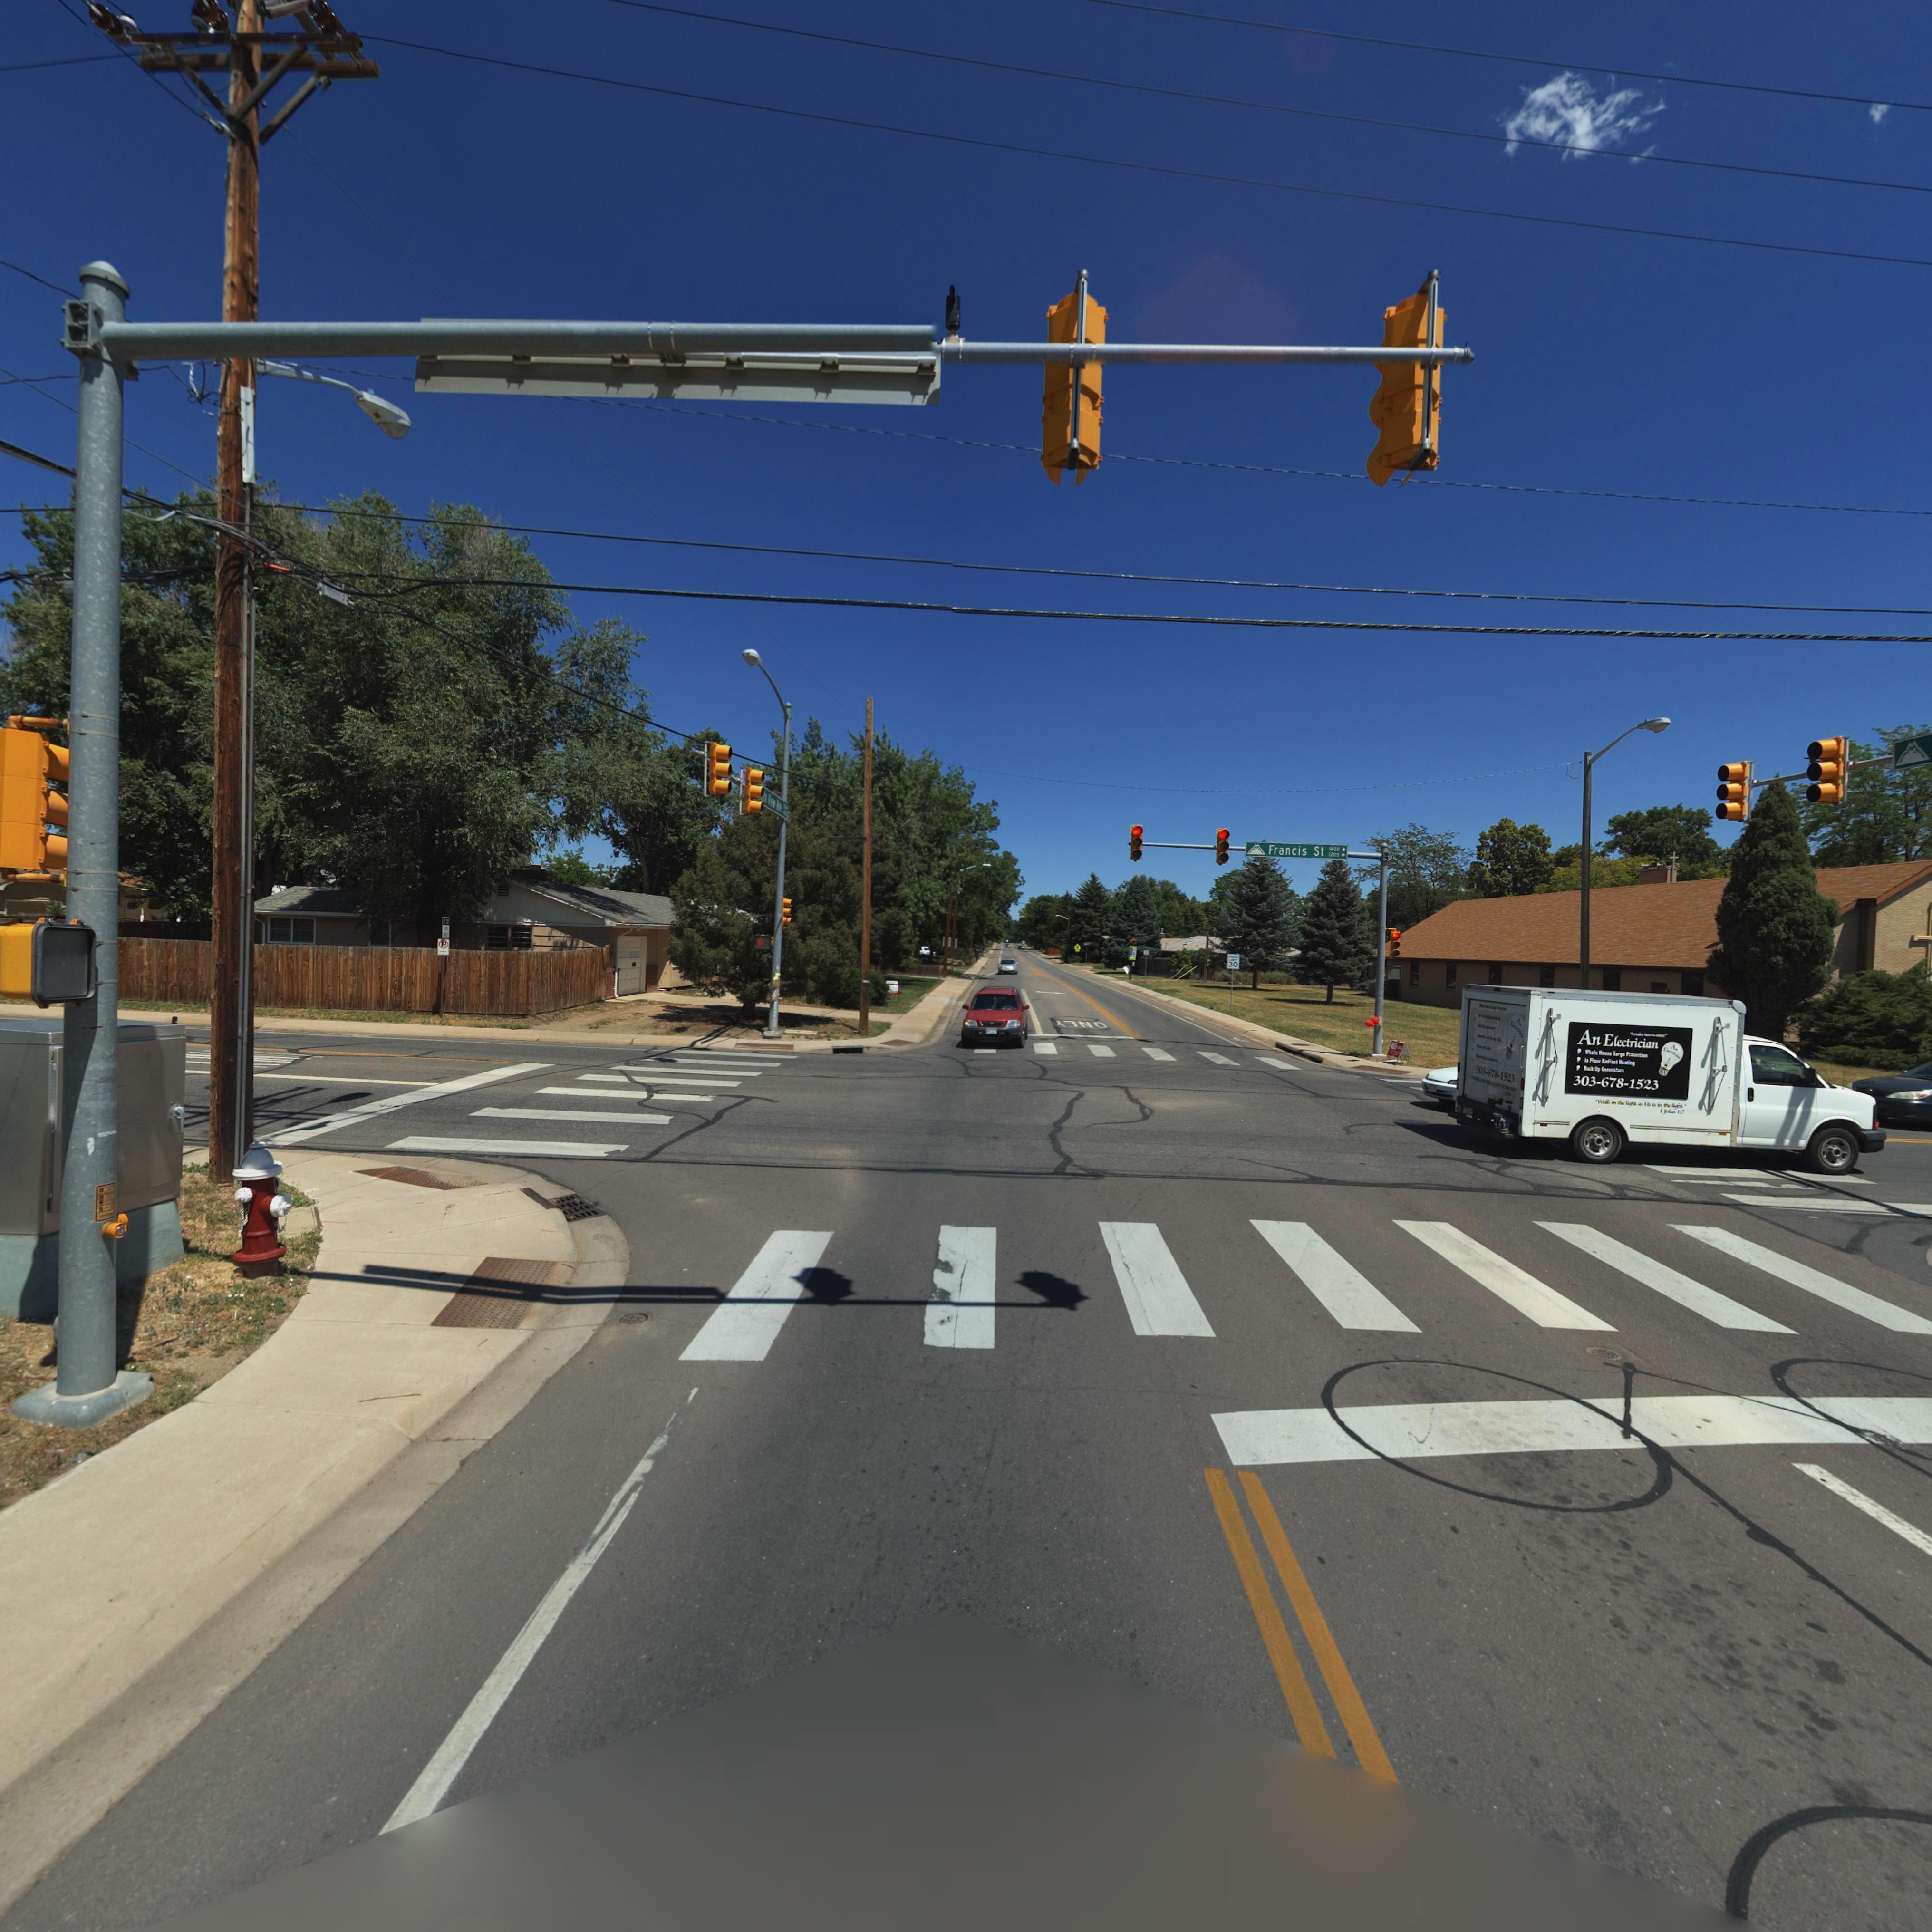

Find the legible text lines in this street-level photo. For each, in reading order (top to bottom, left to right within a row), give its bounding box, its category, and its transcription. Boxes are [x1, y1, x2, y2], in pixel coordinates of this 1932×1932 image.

[767, 792, 782, 812] StreetName: View Ave
[1268, 844, 1324, 856] StreetName: Francis St
[1329, 846, 1340, 852] StreetNumberRange: 1400
[1328, 852, 1345, 857] StreetNumberRange: 1200